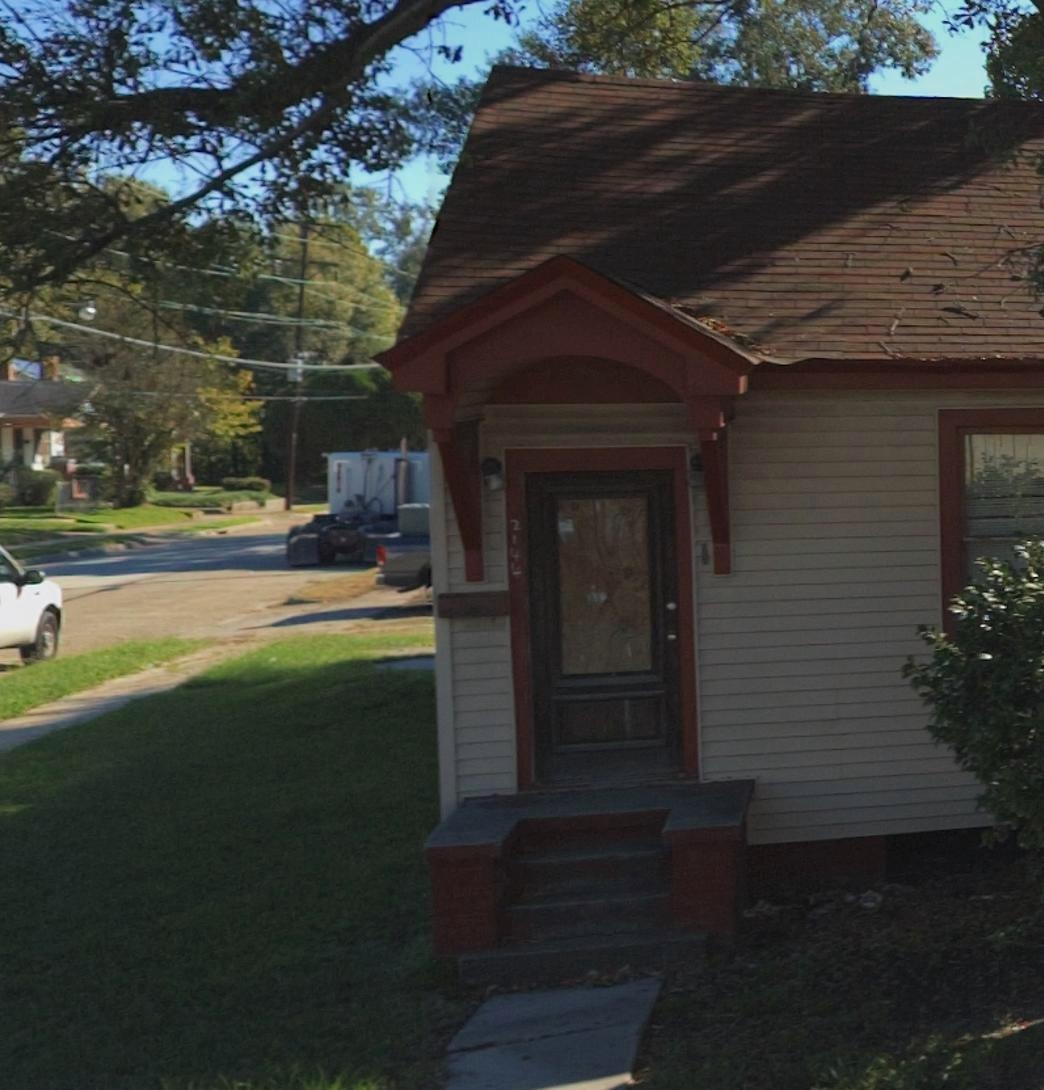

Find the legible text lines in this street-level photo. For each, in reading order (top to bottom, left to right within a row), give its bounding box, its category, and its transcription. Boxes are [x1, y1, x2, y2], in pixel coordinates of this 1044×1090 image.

[506, 515, 525, 584] StreetNumber: 2144